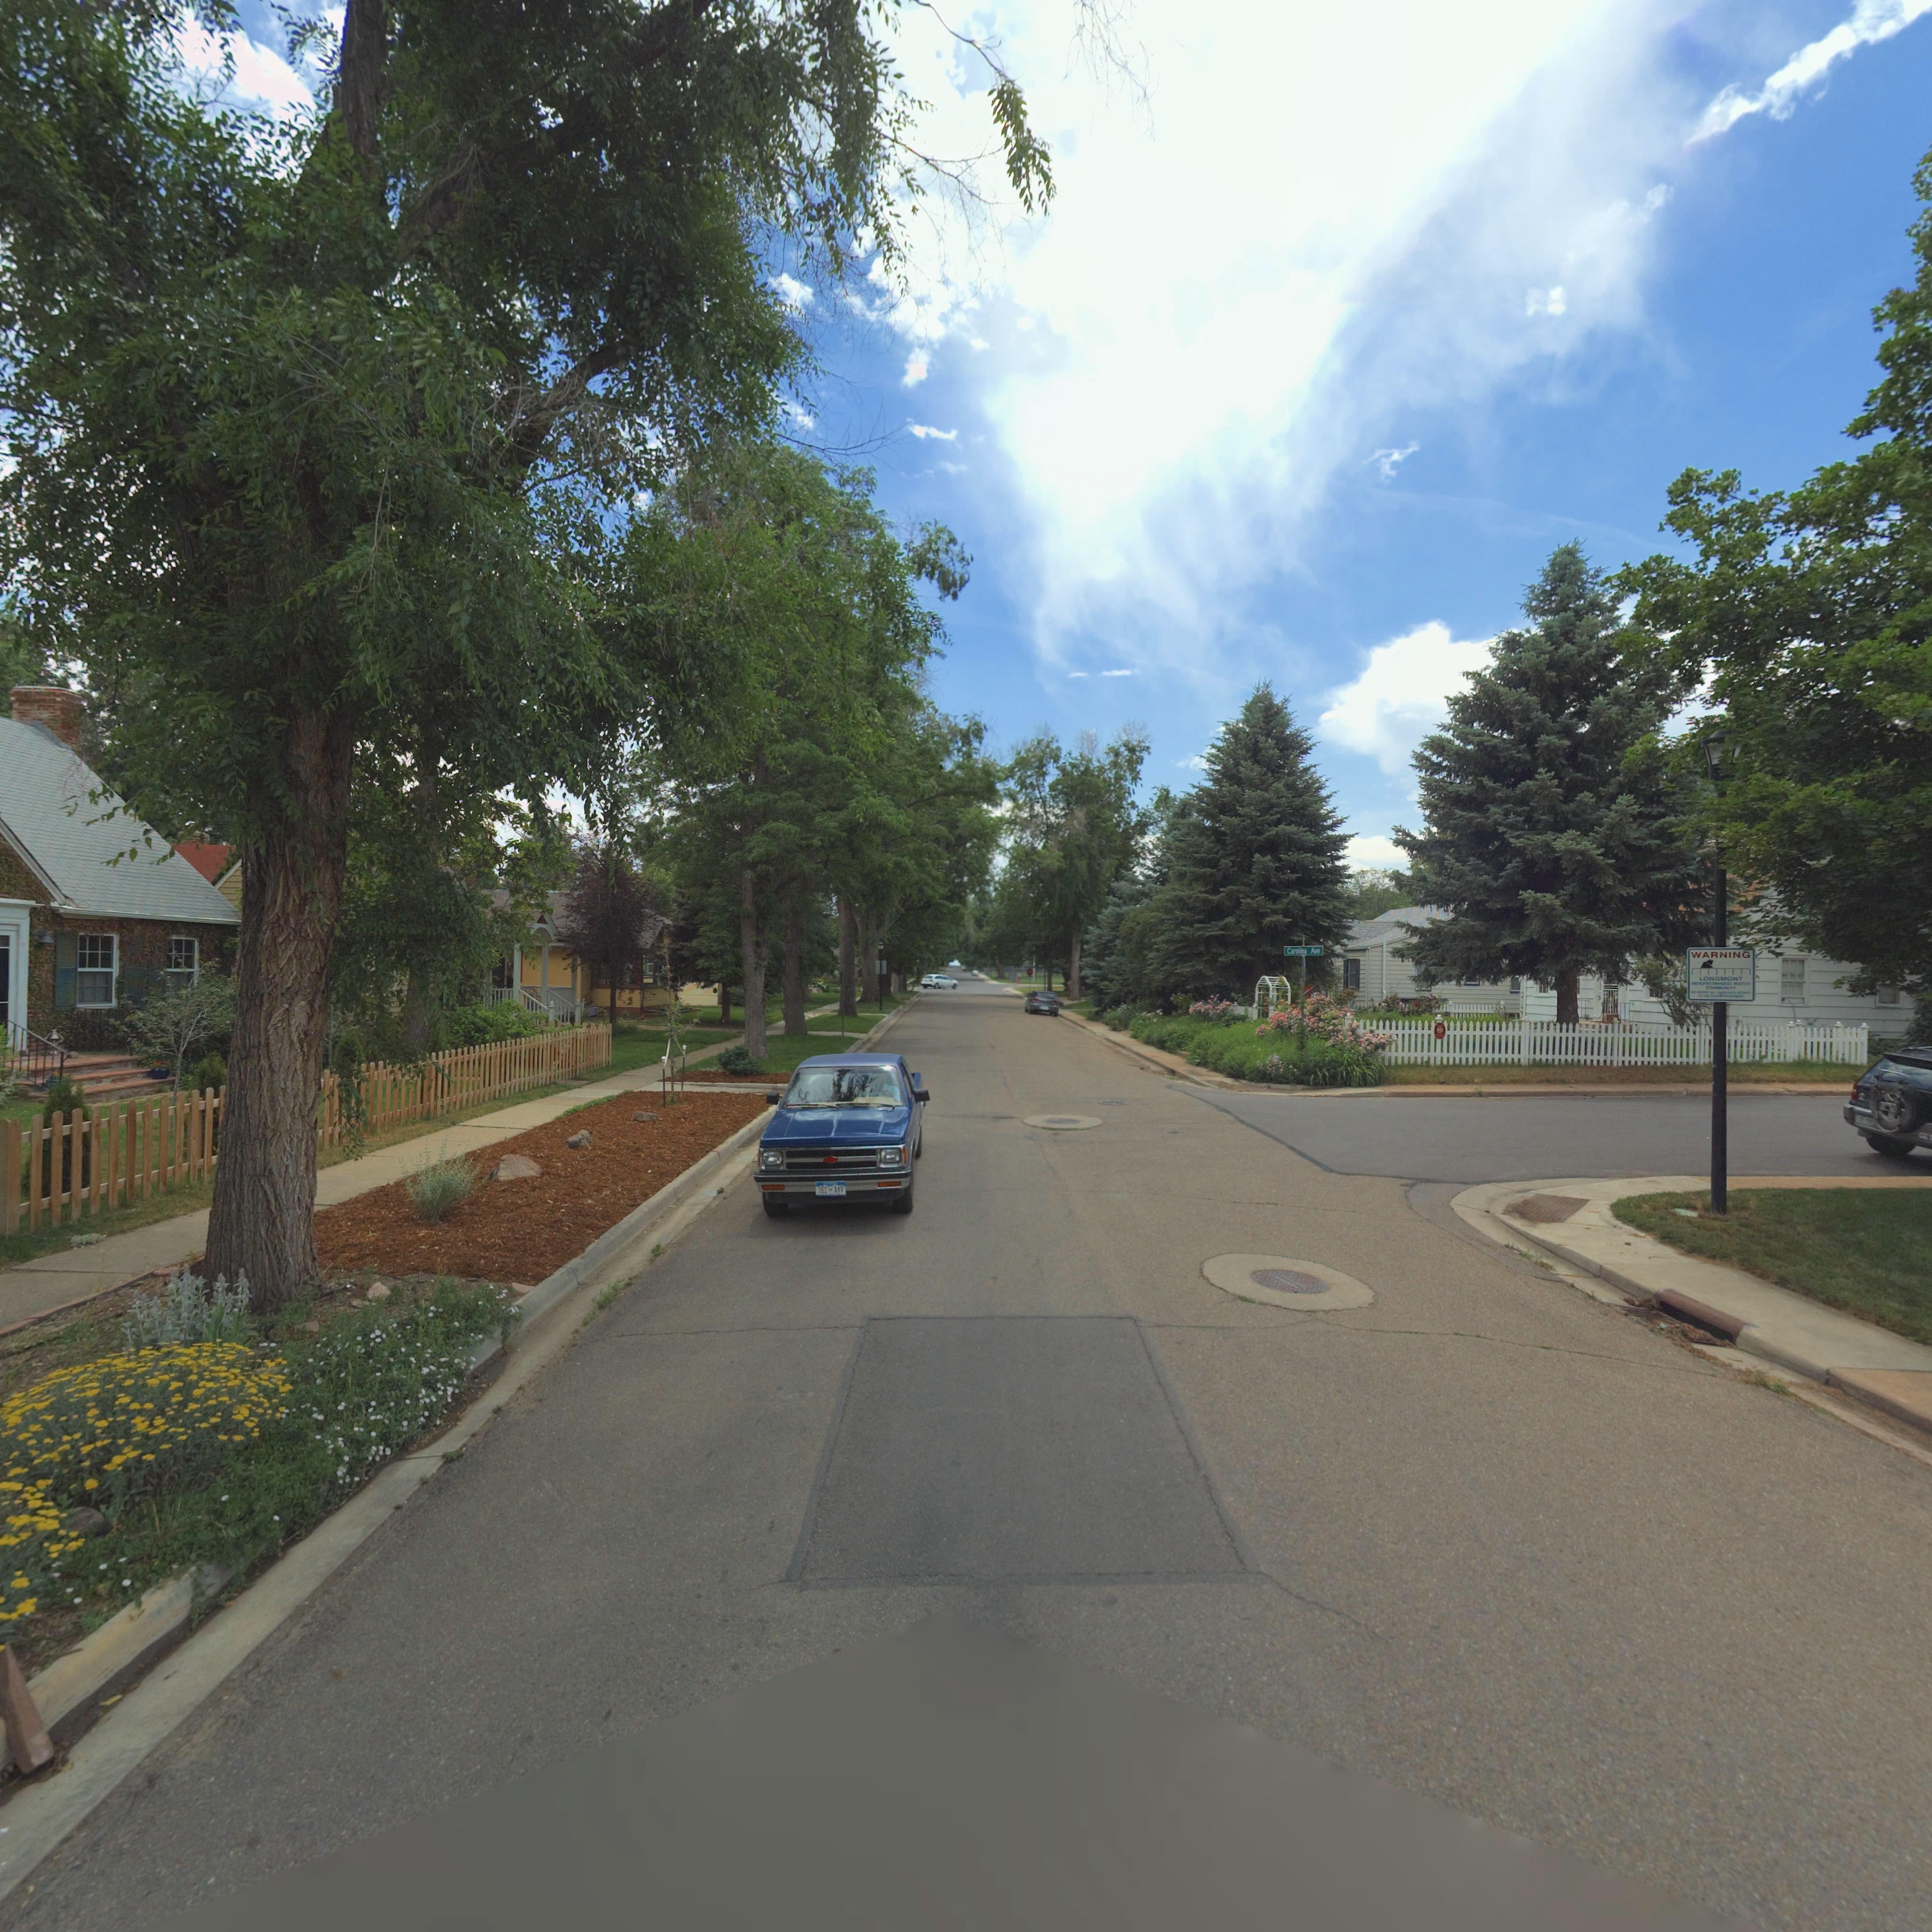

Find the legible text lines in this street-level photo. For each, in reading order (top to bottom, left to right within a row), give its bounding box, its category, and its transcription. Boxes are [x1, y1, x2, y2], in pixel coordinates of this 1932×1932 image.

[1286, 947, 1320, 954] StreetName: Carolina Ave